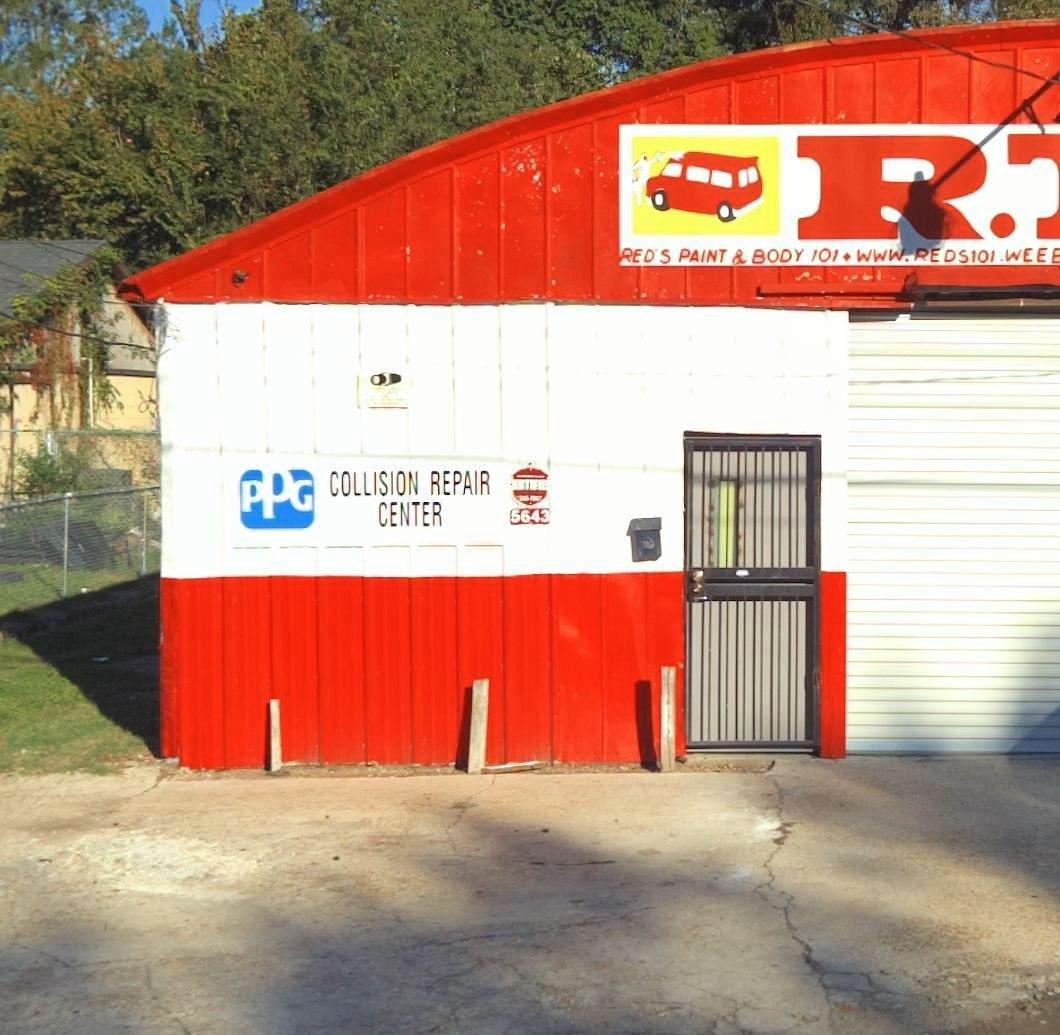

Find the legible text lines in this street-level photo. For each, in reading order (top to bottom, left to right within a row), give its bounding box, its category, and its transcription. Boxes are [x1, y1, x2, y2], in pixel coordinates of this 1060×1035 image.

[793, 131, 991, 244] None: R
[614, 241, 1051, 265] None: RED'S PAINT & BODY 101 * WWW.REDS101.WEE
[239, 466, 315, 521] None: PPG
[327, 468, 492, 499] None: COLLISION REPAIR
[376, 499, 444, 530] None: CENTER
[509, 507, 551, 526] StreetNumber: 5643